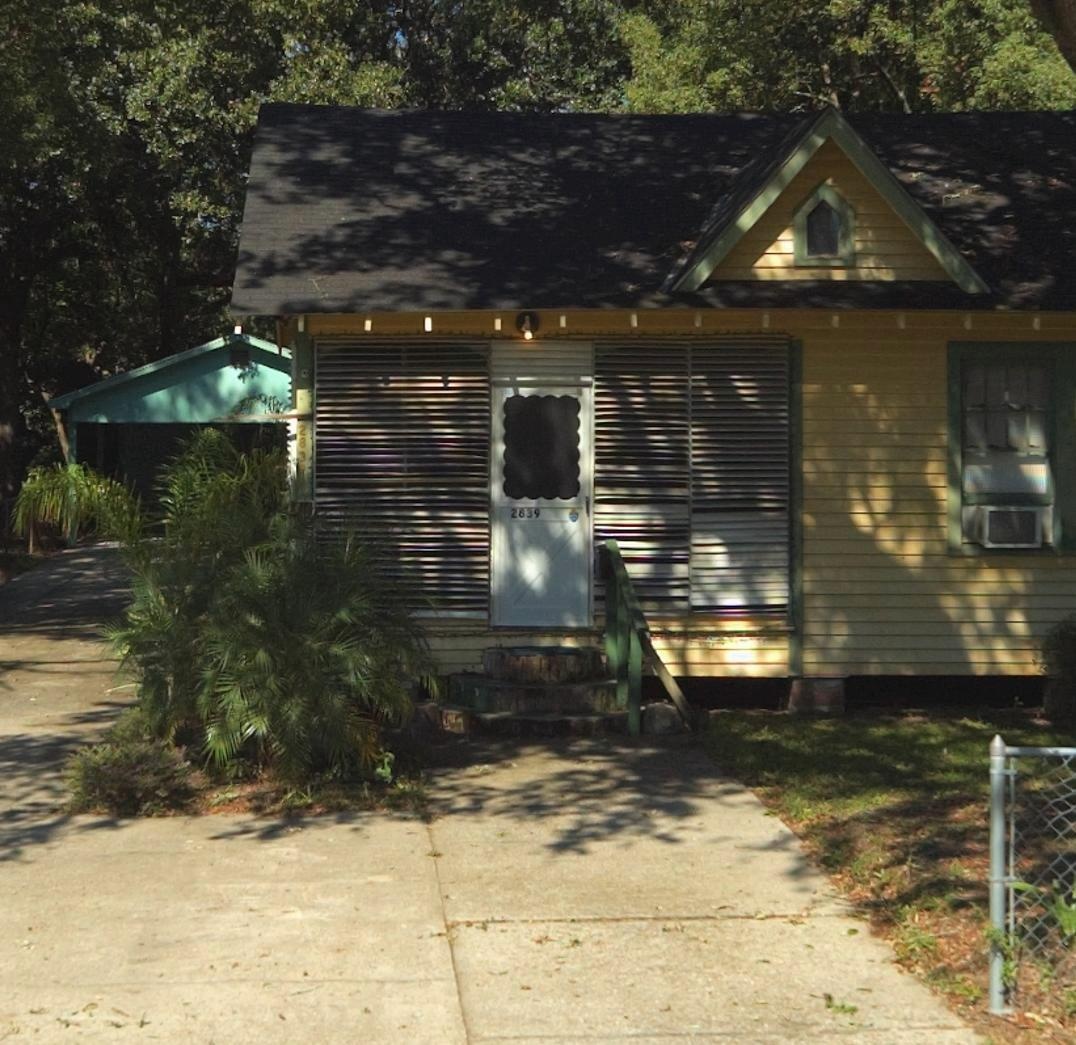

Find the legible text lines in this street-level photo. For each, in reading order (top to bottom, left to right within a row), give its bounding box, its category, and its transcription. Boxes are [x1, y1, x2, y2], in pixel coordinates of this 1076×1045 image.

[510, 507, 542, 519] StreetNumber: 2839